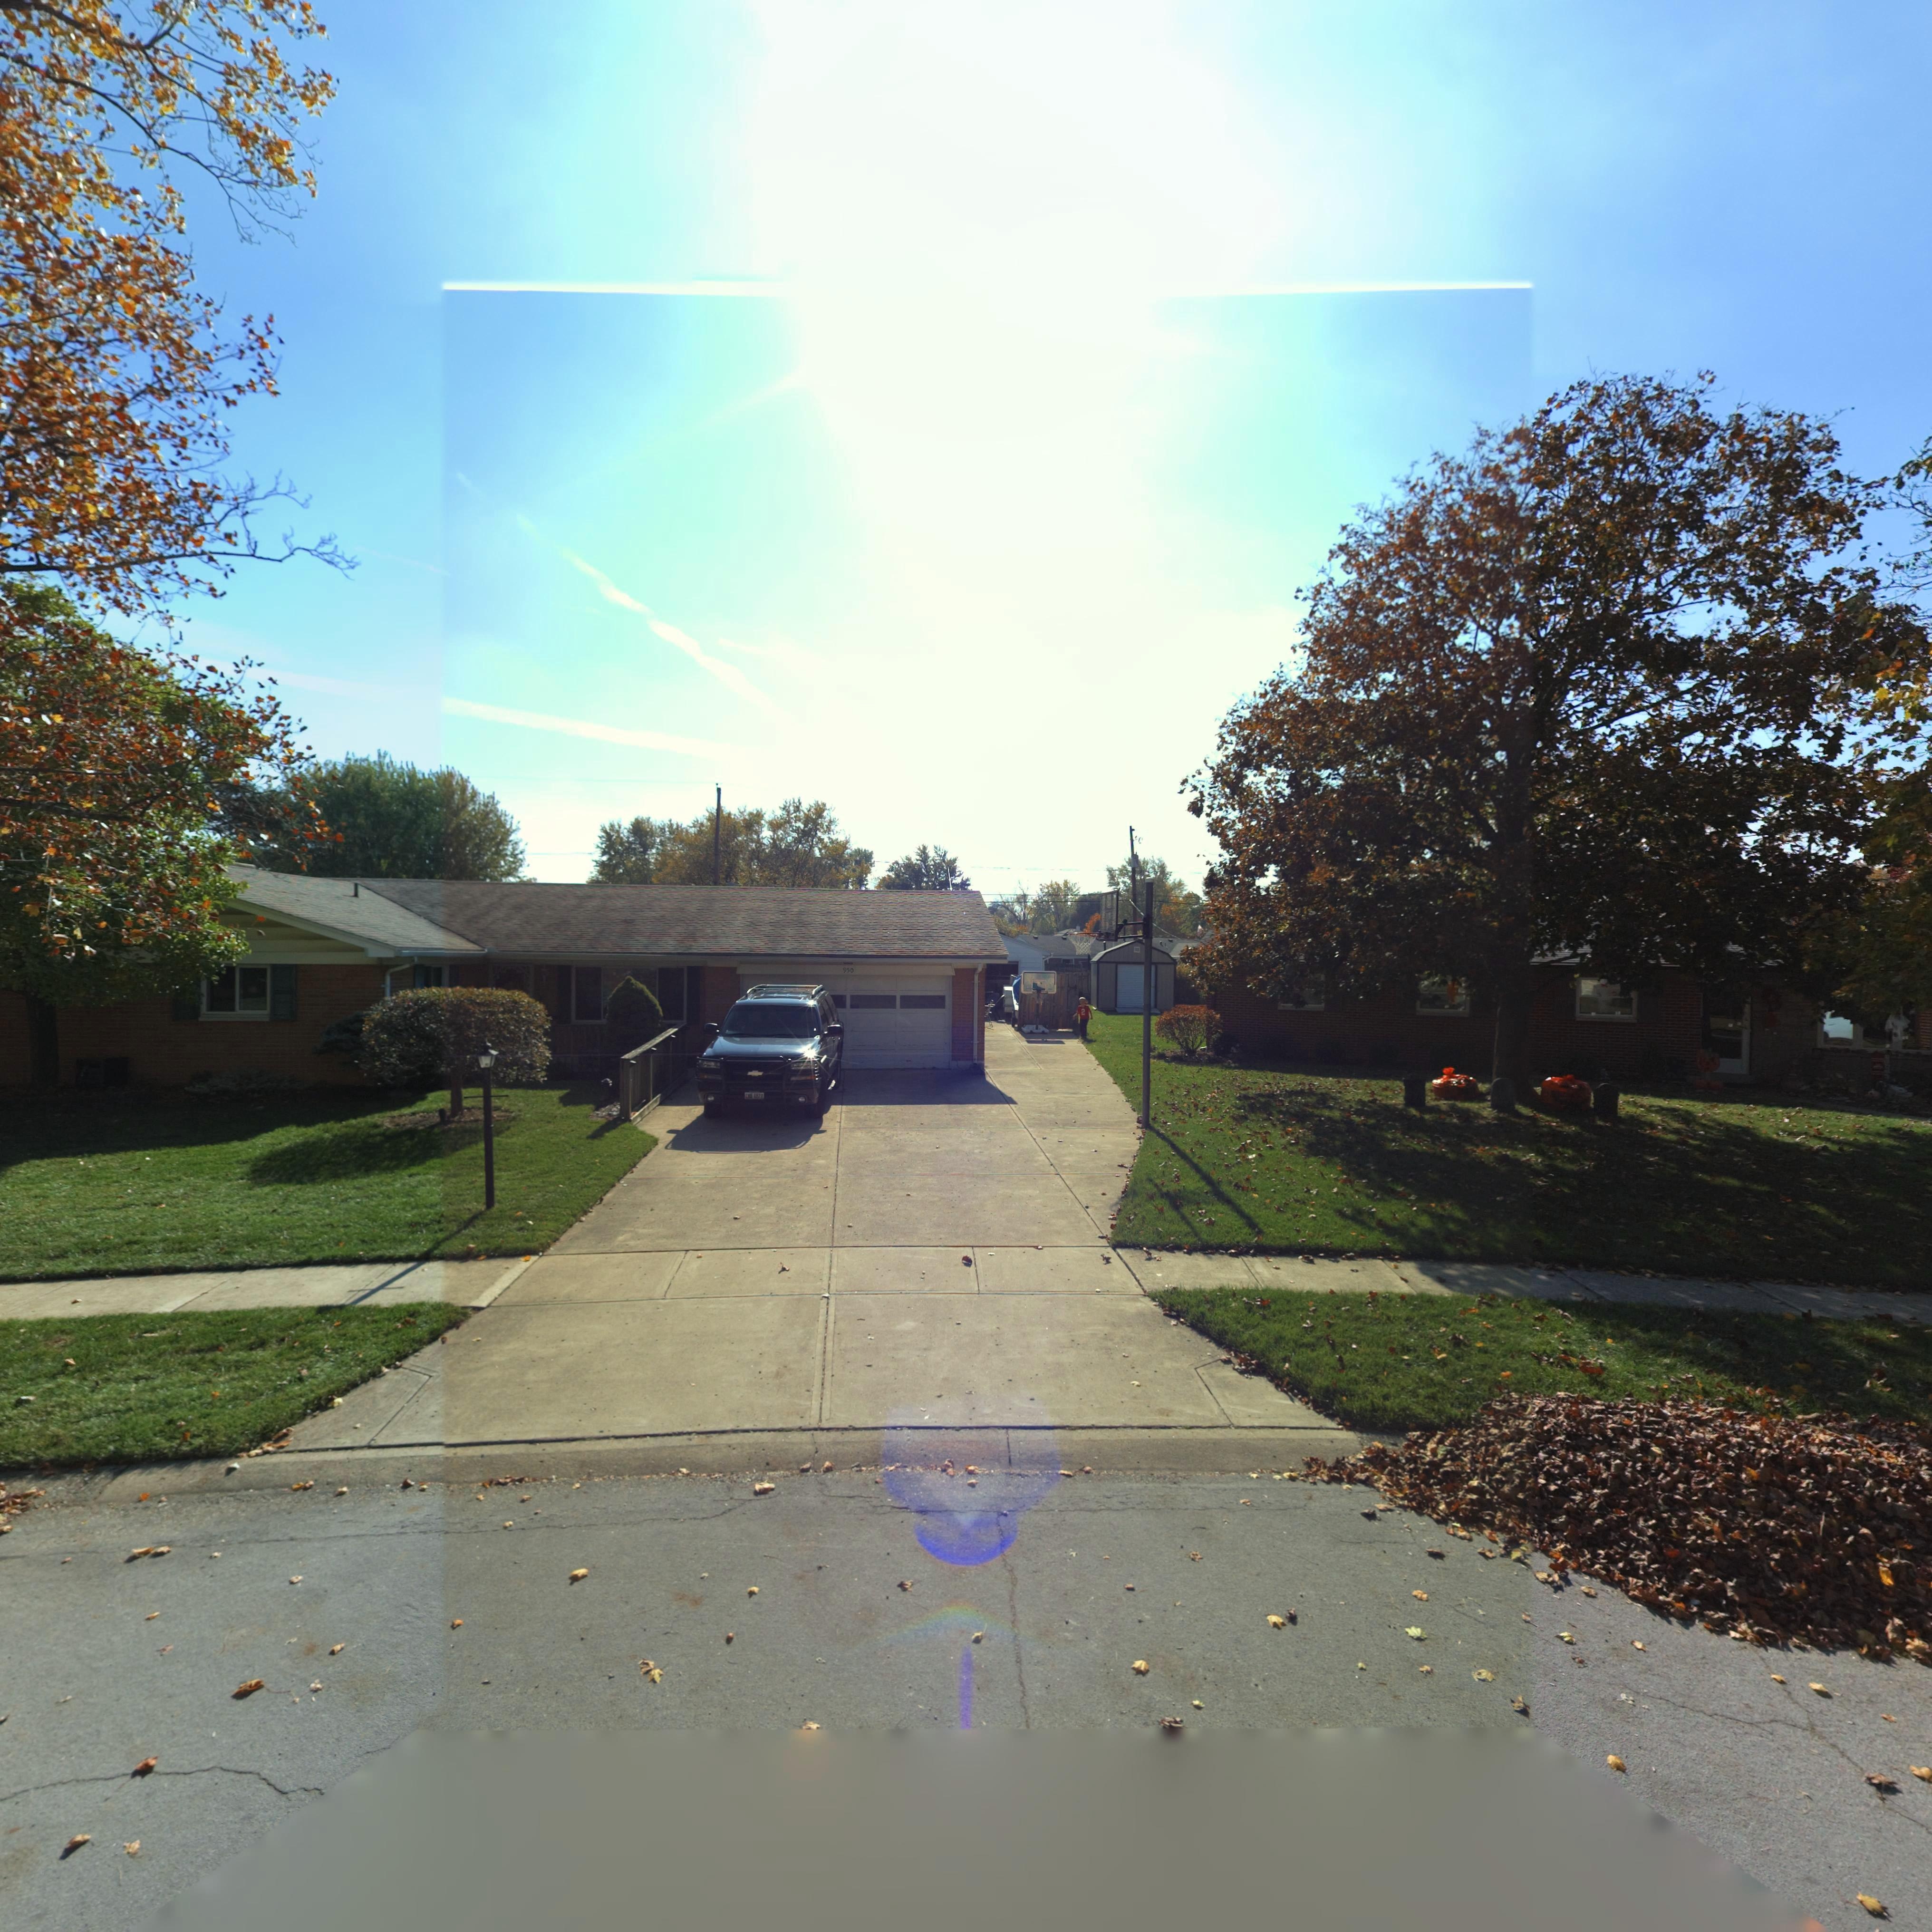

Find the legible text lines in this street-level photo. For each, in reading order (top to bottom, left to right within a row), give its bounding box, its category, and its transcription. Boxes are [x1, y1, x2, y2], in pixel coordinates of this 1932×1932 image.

[842, 967, 854, 973] StreetNumber: 950
[1081, 1008, 1085, 1016] None: 2